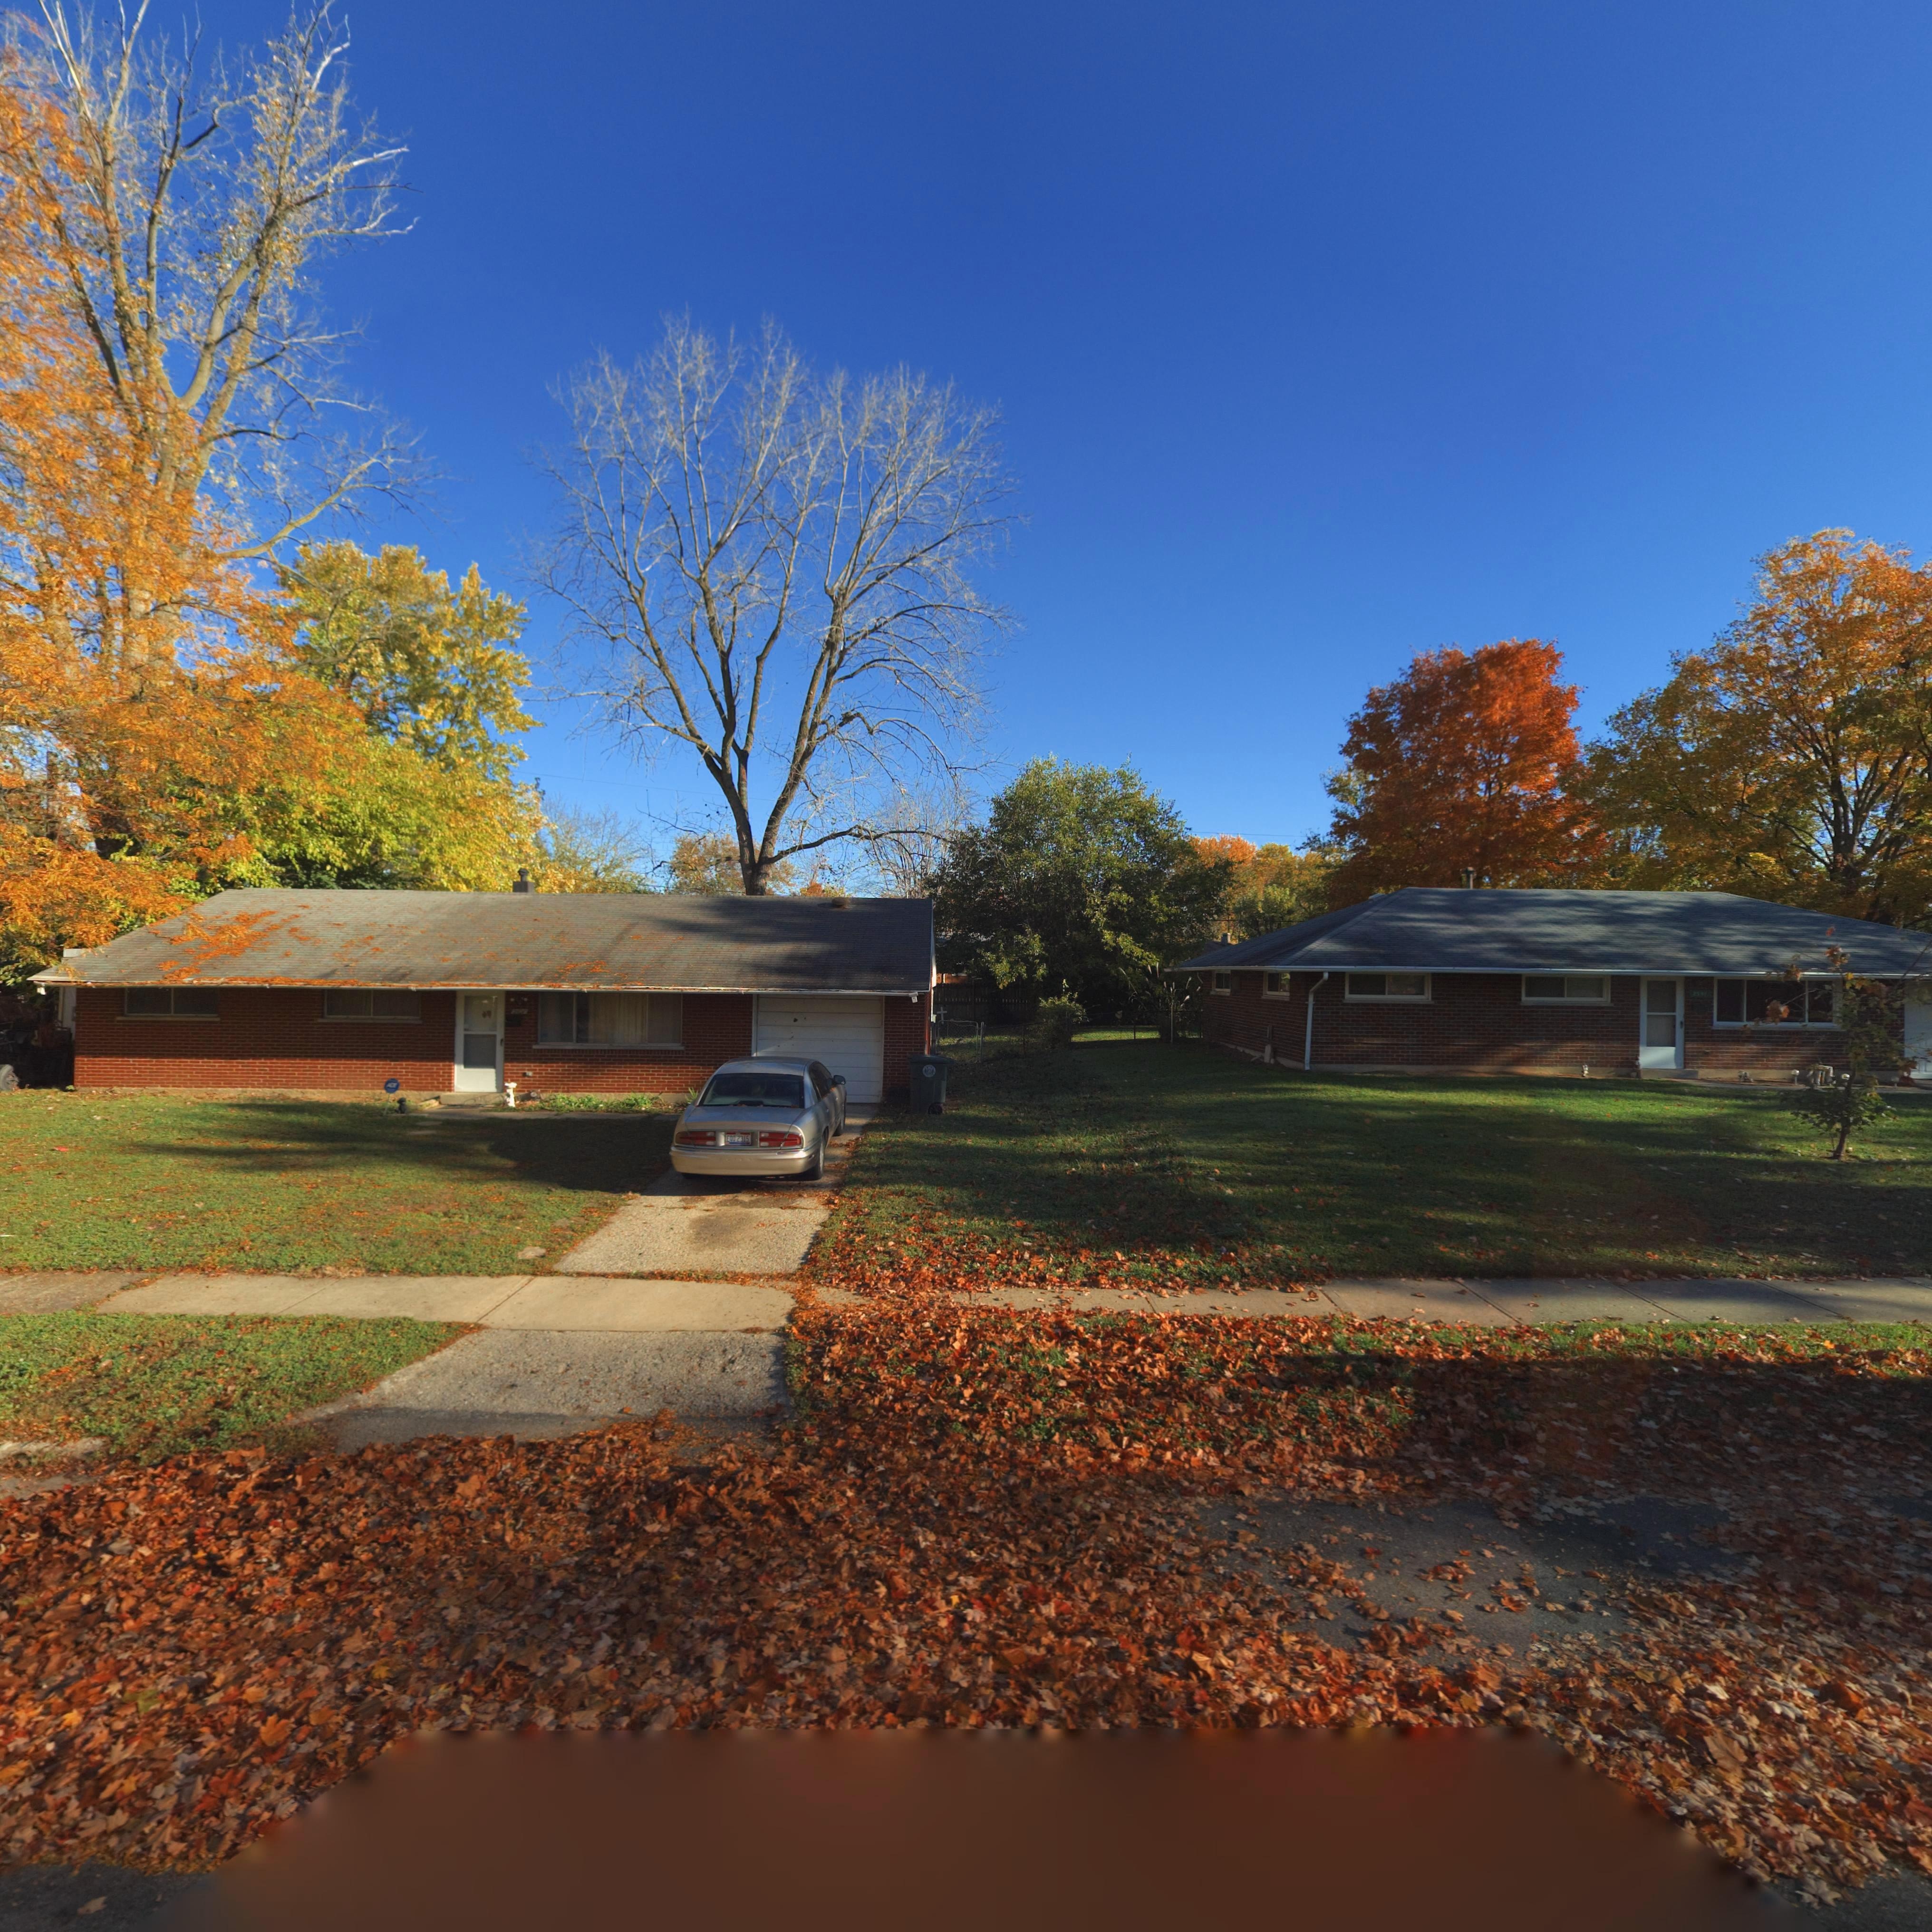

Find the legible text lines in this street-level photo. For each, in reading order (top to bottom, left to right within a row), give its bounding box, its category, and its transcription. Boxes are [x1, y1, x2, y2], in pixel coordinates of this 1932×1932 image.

[512, 1008, 526, 1014] StreetNumber: 2604